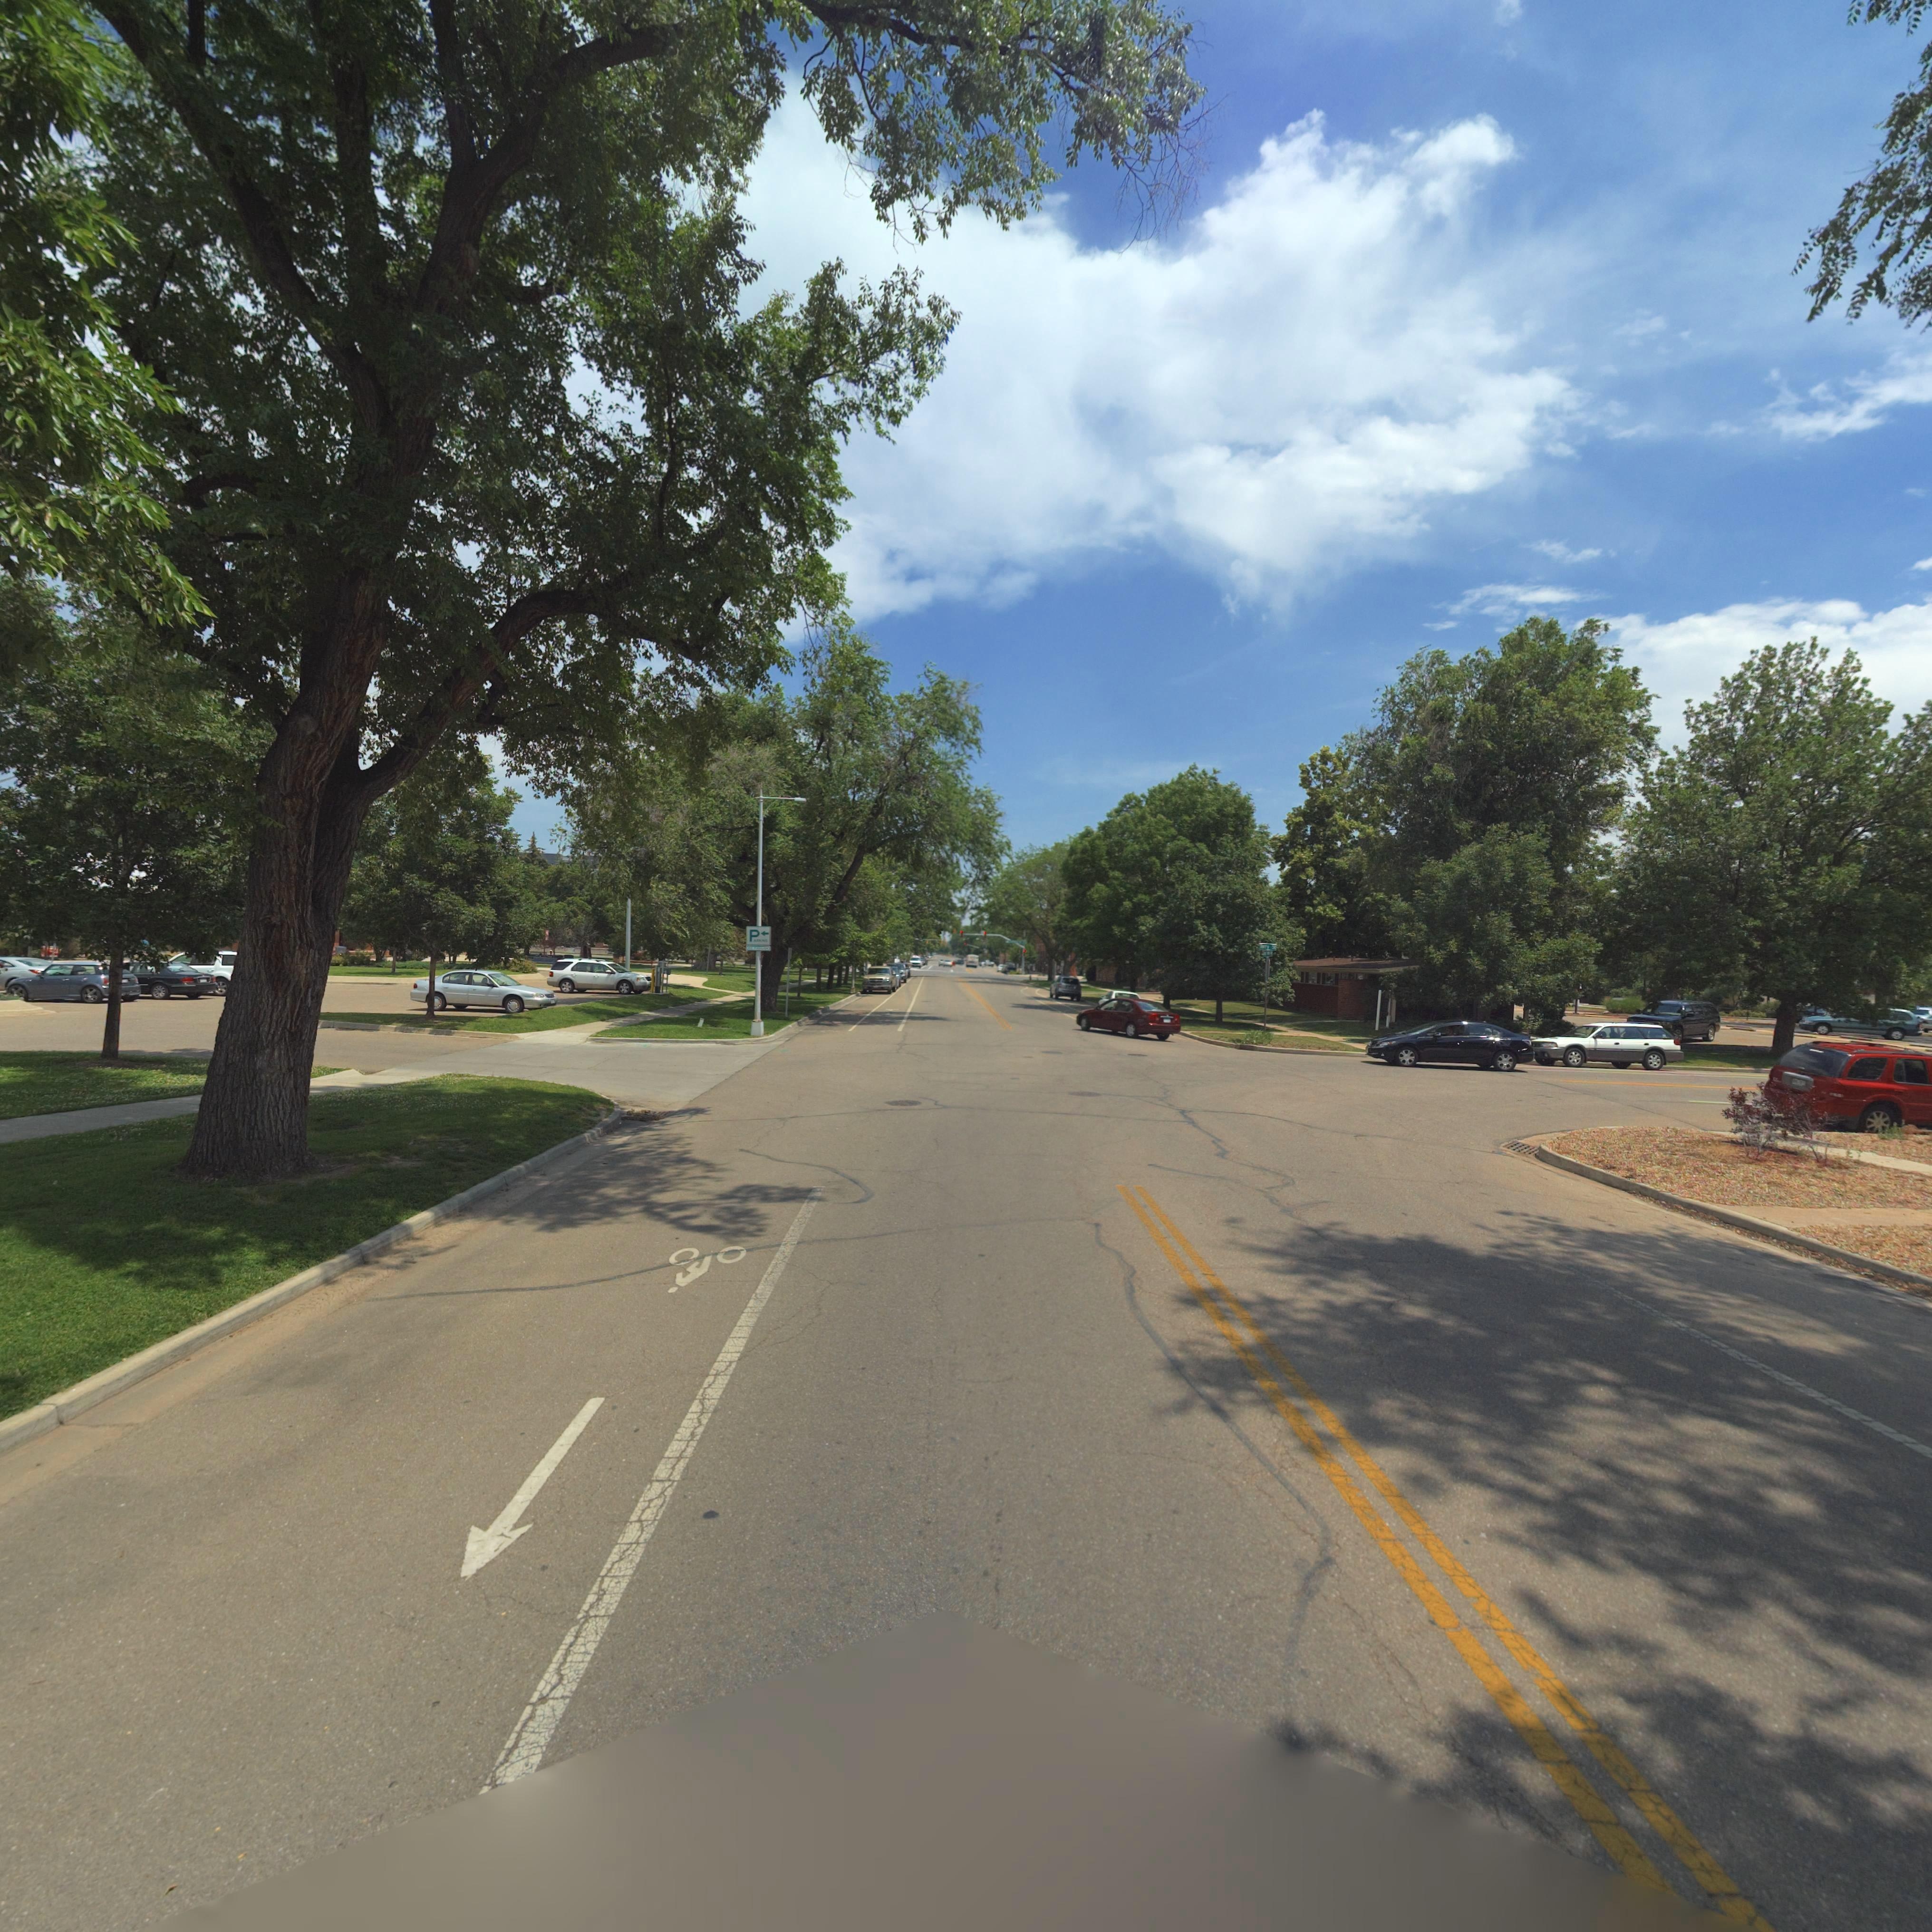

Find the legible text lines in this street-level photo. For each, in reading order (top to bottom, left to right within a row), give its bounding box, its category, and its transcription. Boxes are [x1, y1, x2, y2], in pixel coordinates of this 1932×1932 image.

[1259, 943, 1276, 949] StreetName: Terry St